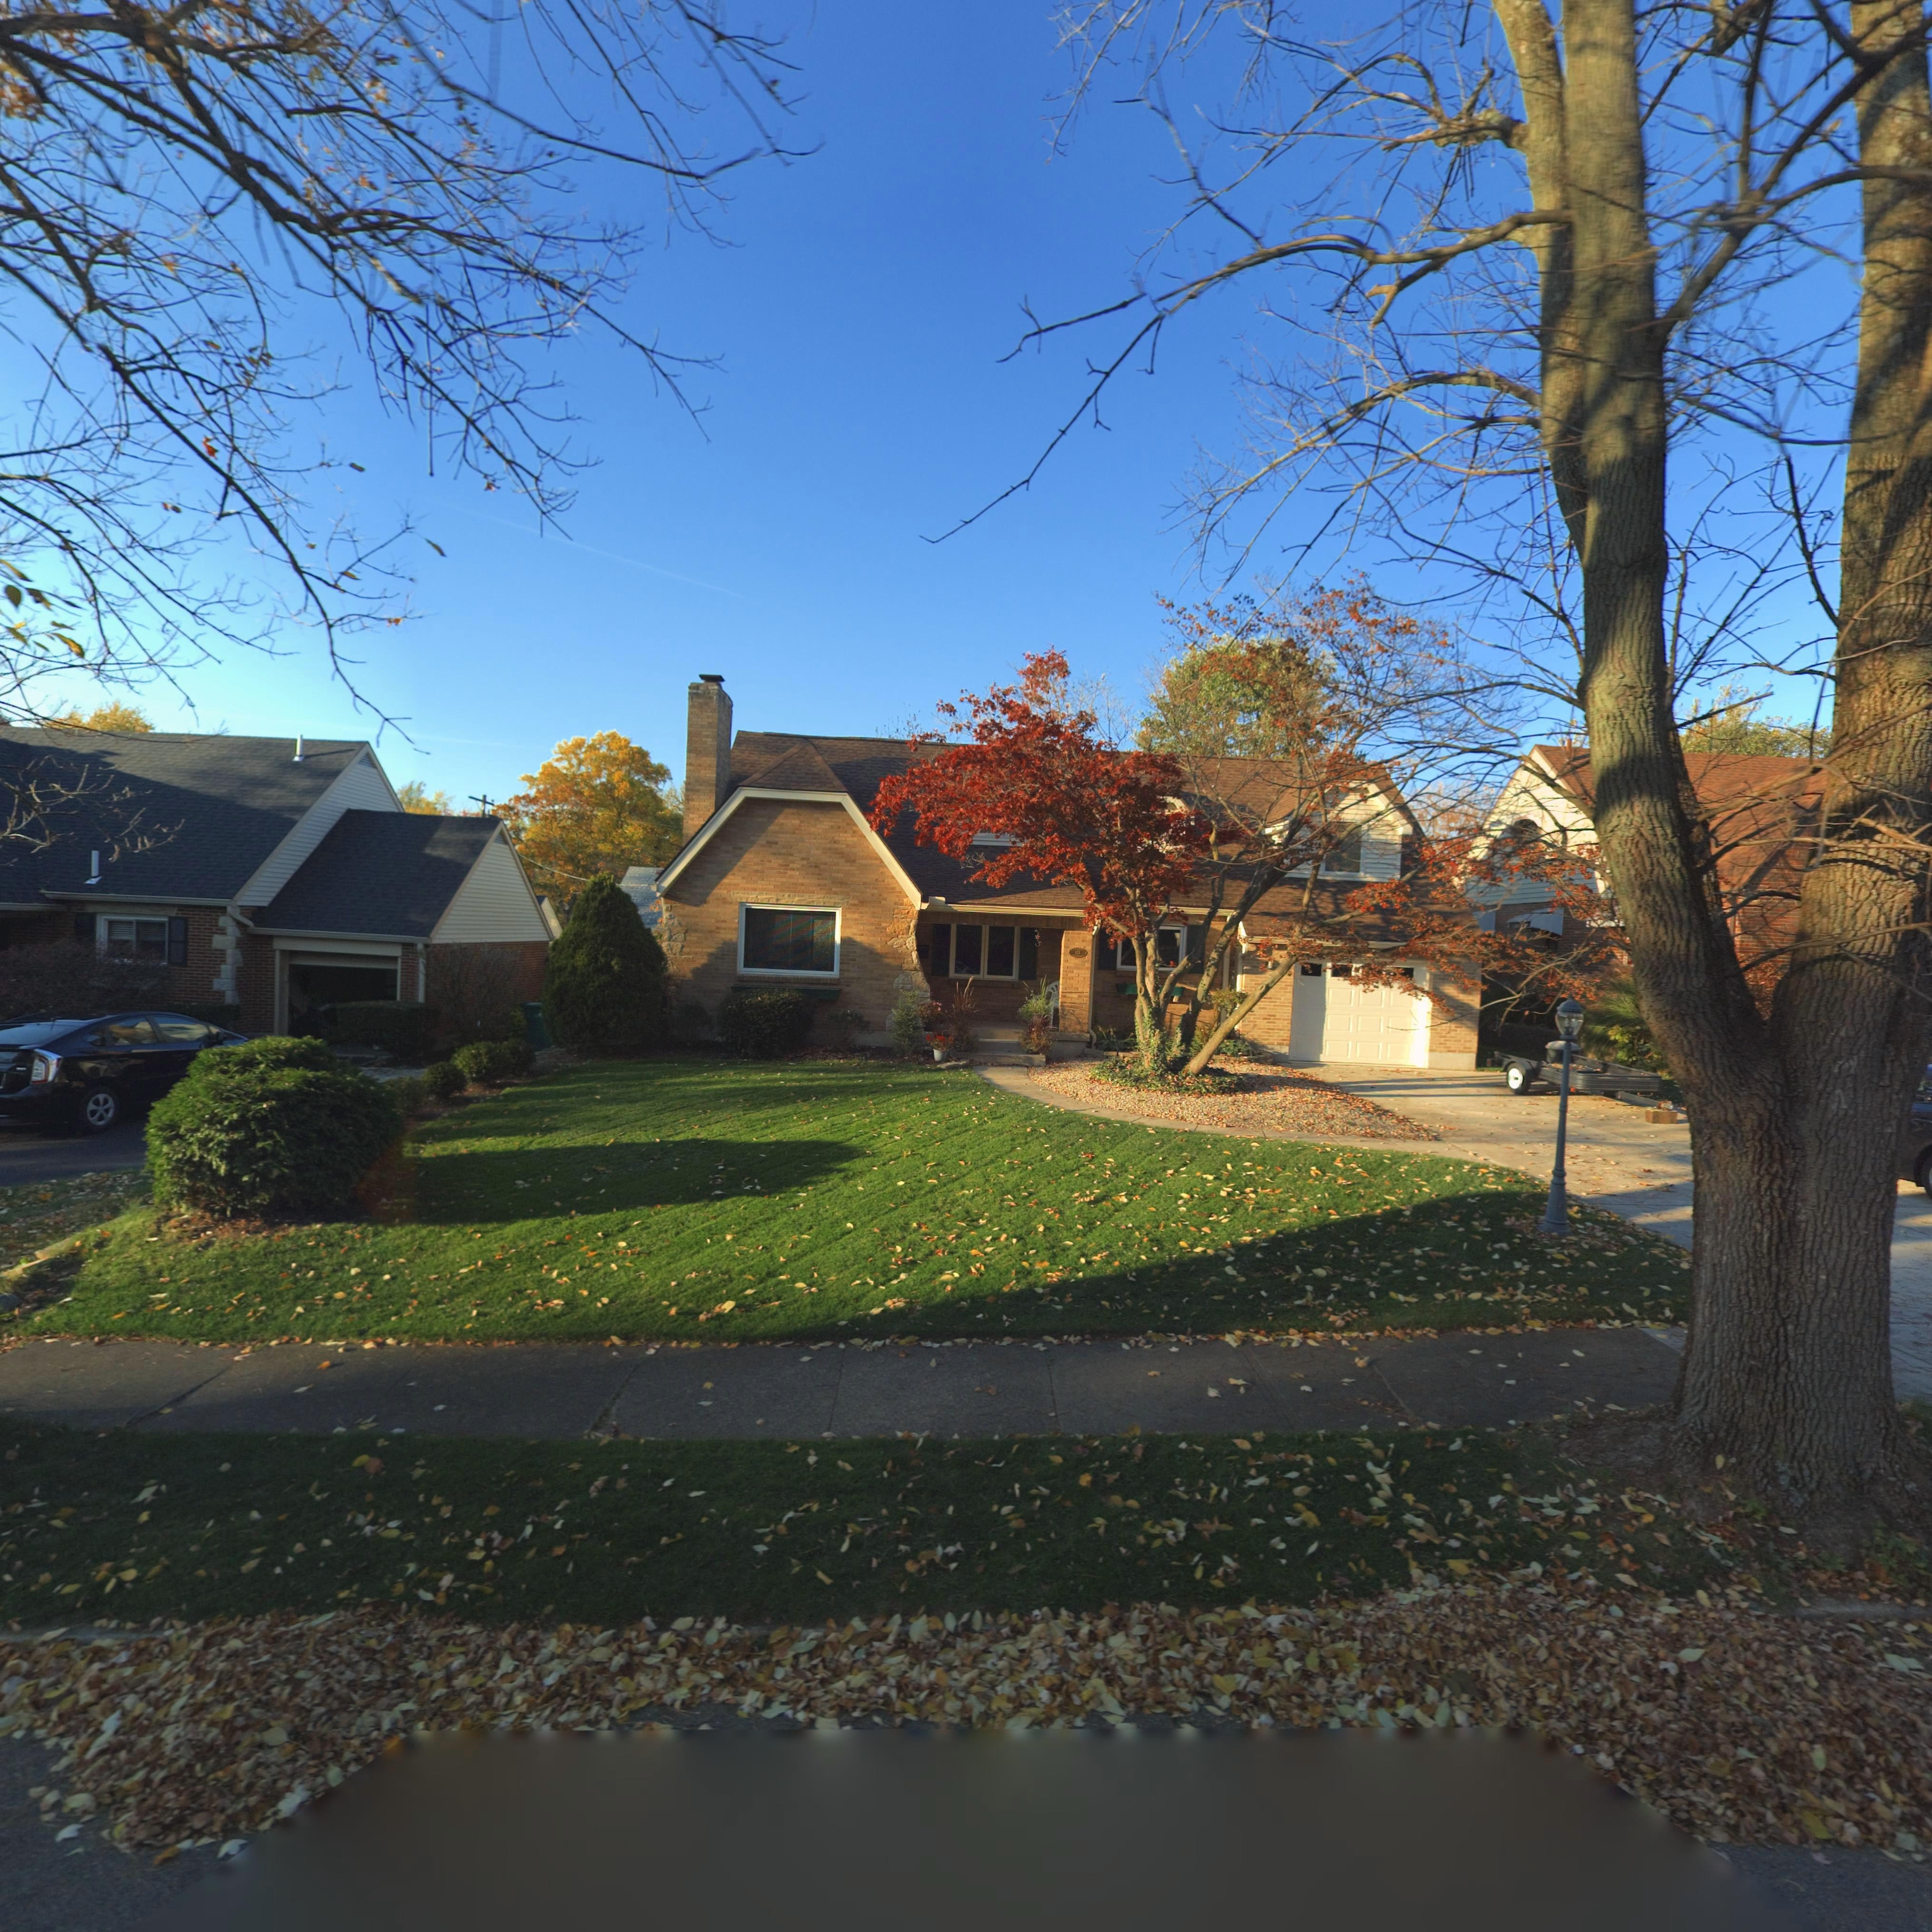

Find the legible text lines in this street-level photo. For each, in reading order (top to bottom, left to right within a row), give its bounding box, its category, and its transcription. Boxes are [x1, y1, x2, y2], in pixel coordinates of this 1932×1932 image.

[1074, 950, 1081, 955] StreetNumber: 1*1